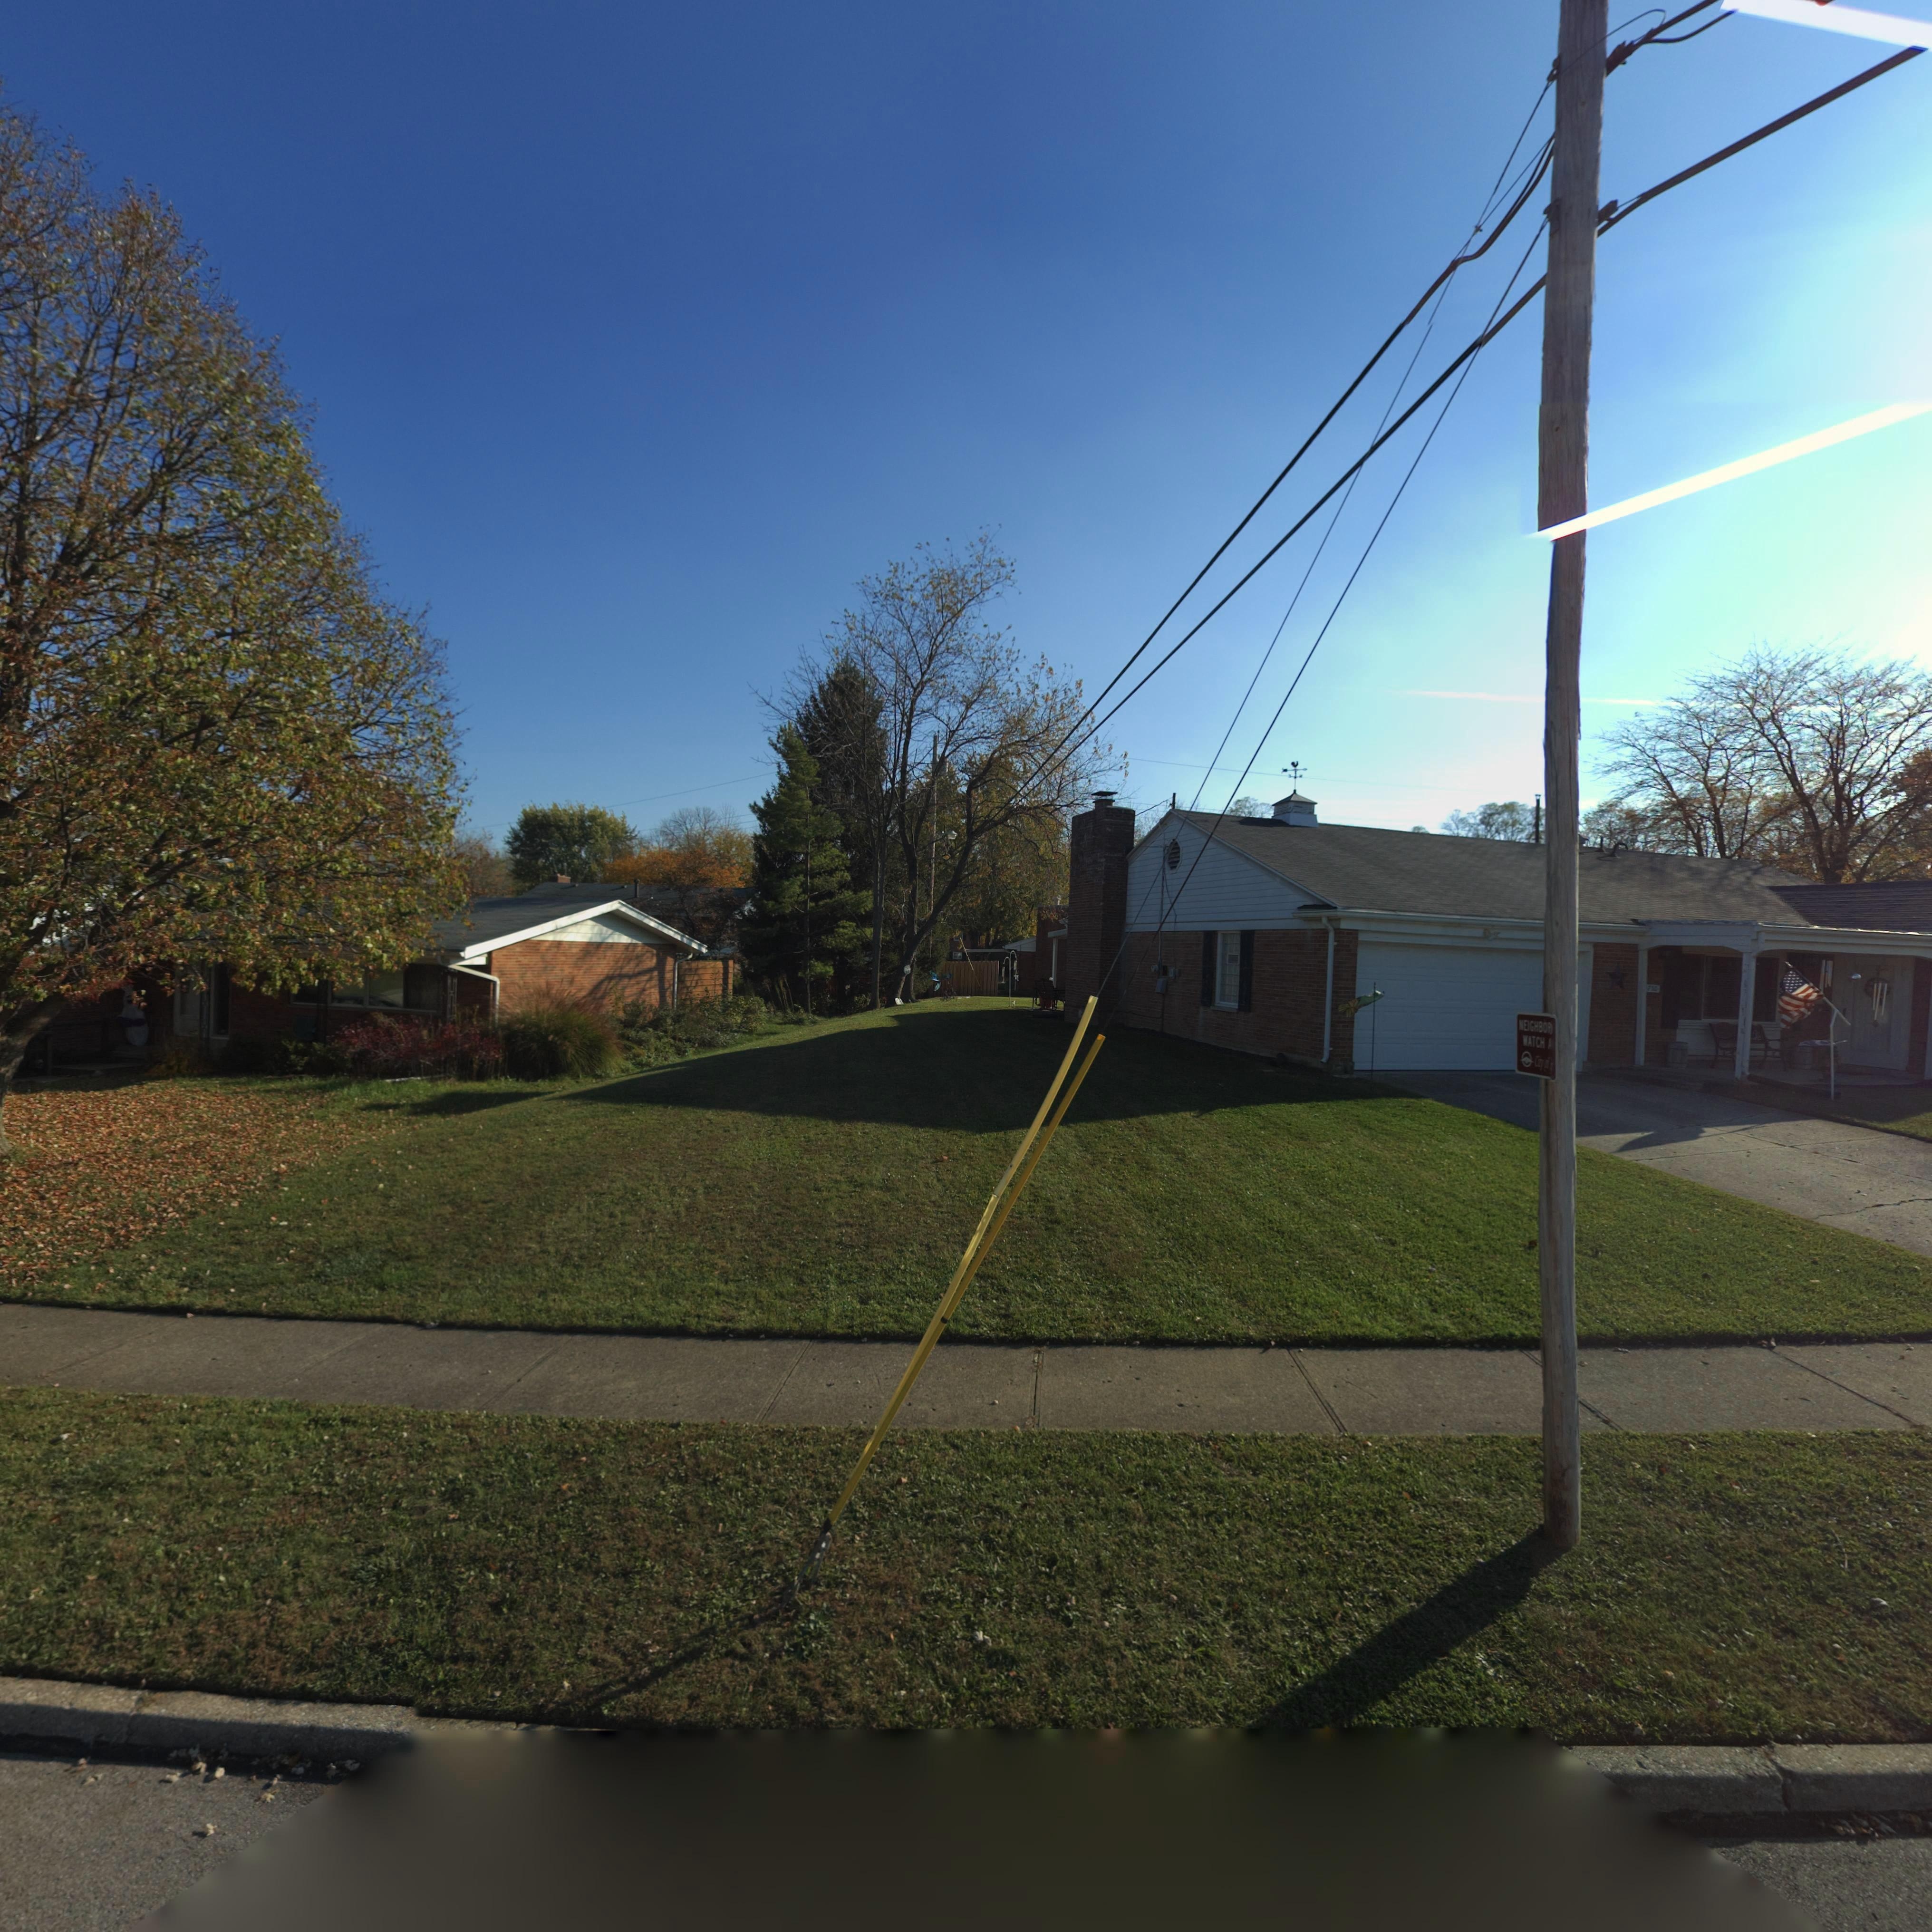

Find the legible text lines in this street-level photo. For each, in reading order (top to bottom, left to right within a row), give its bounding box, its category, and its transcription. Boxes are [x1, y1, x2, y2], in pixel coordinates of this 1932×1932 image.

[1647, 985, 1658, 991] StreetNumber: 750